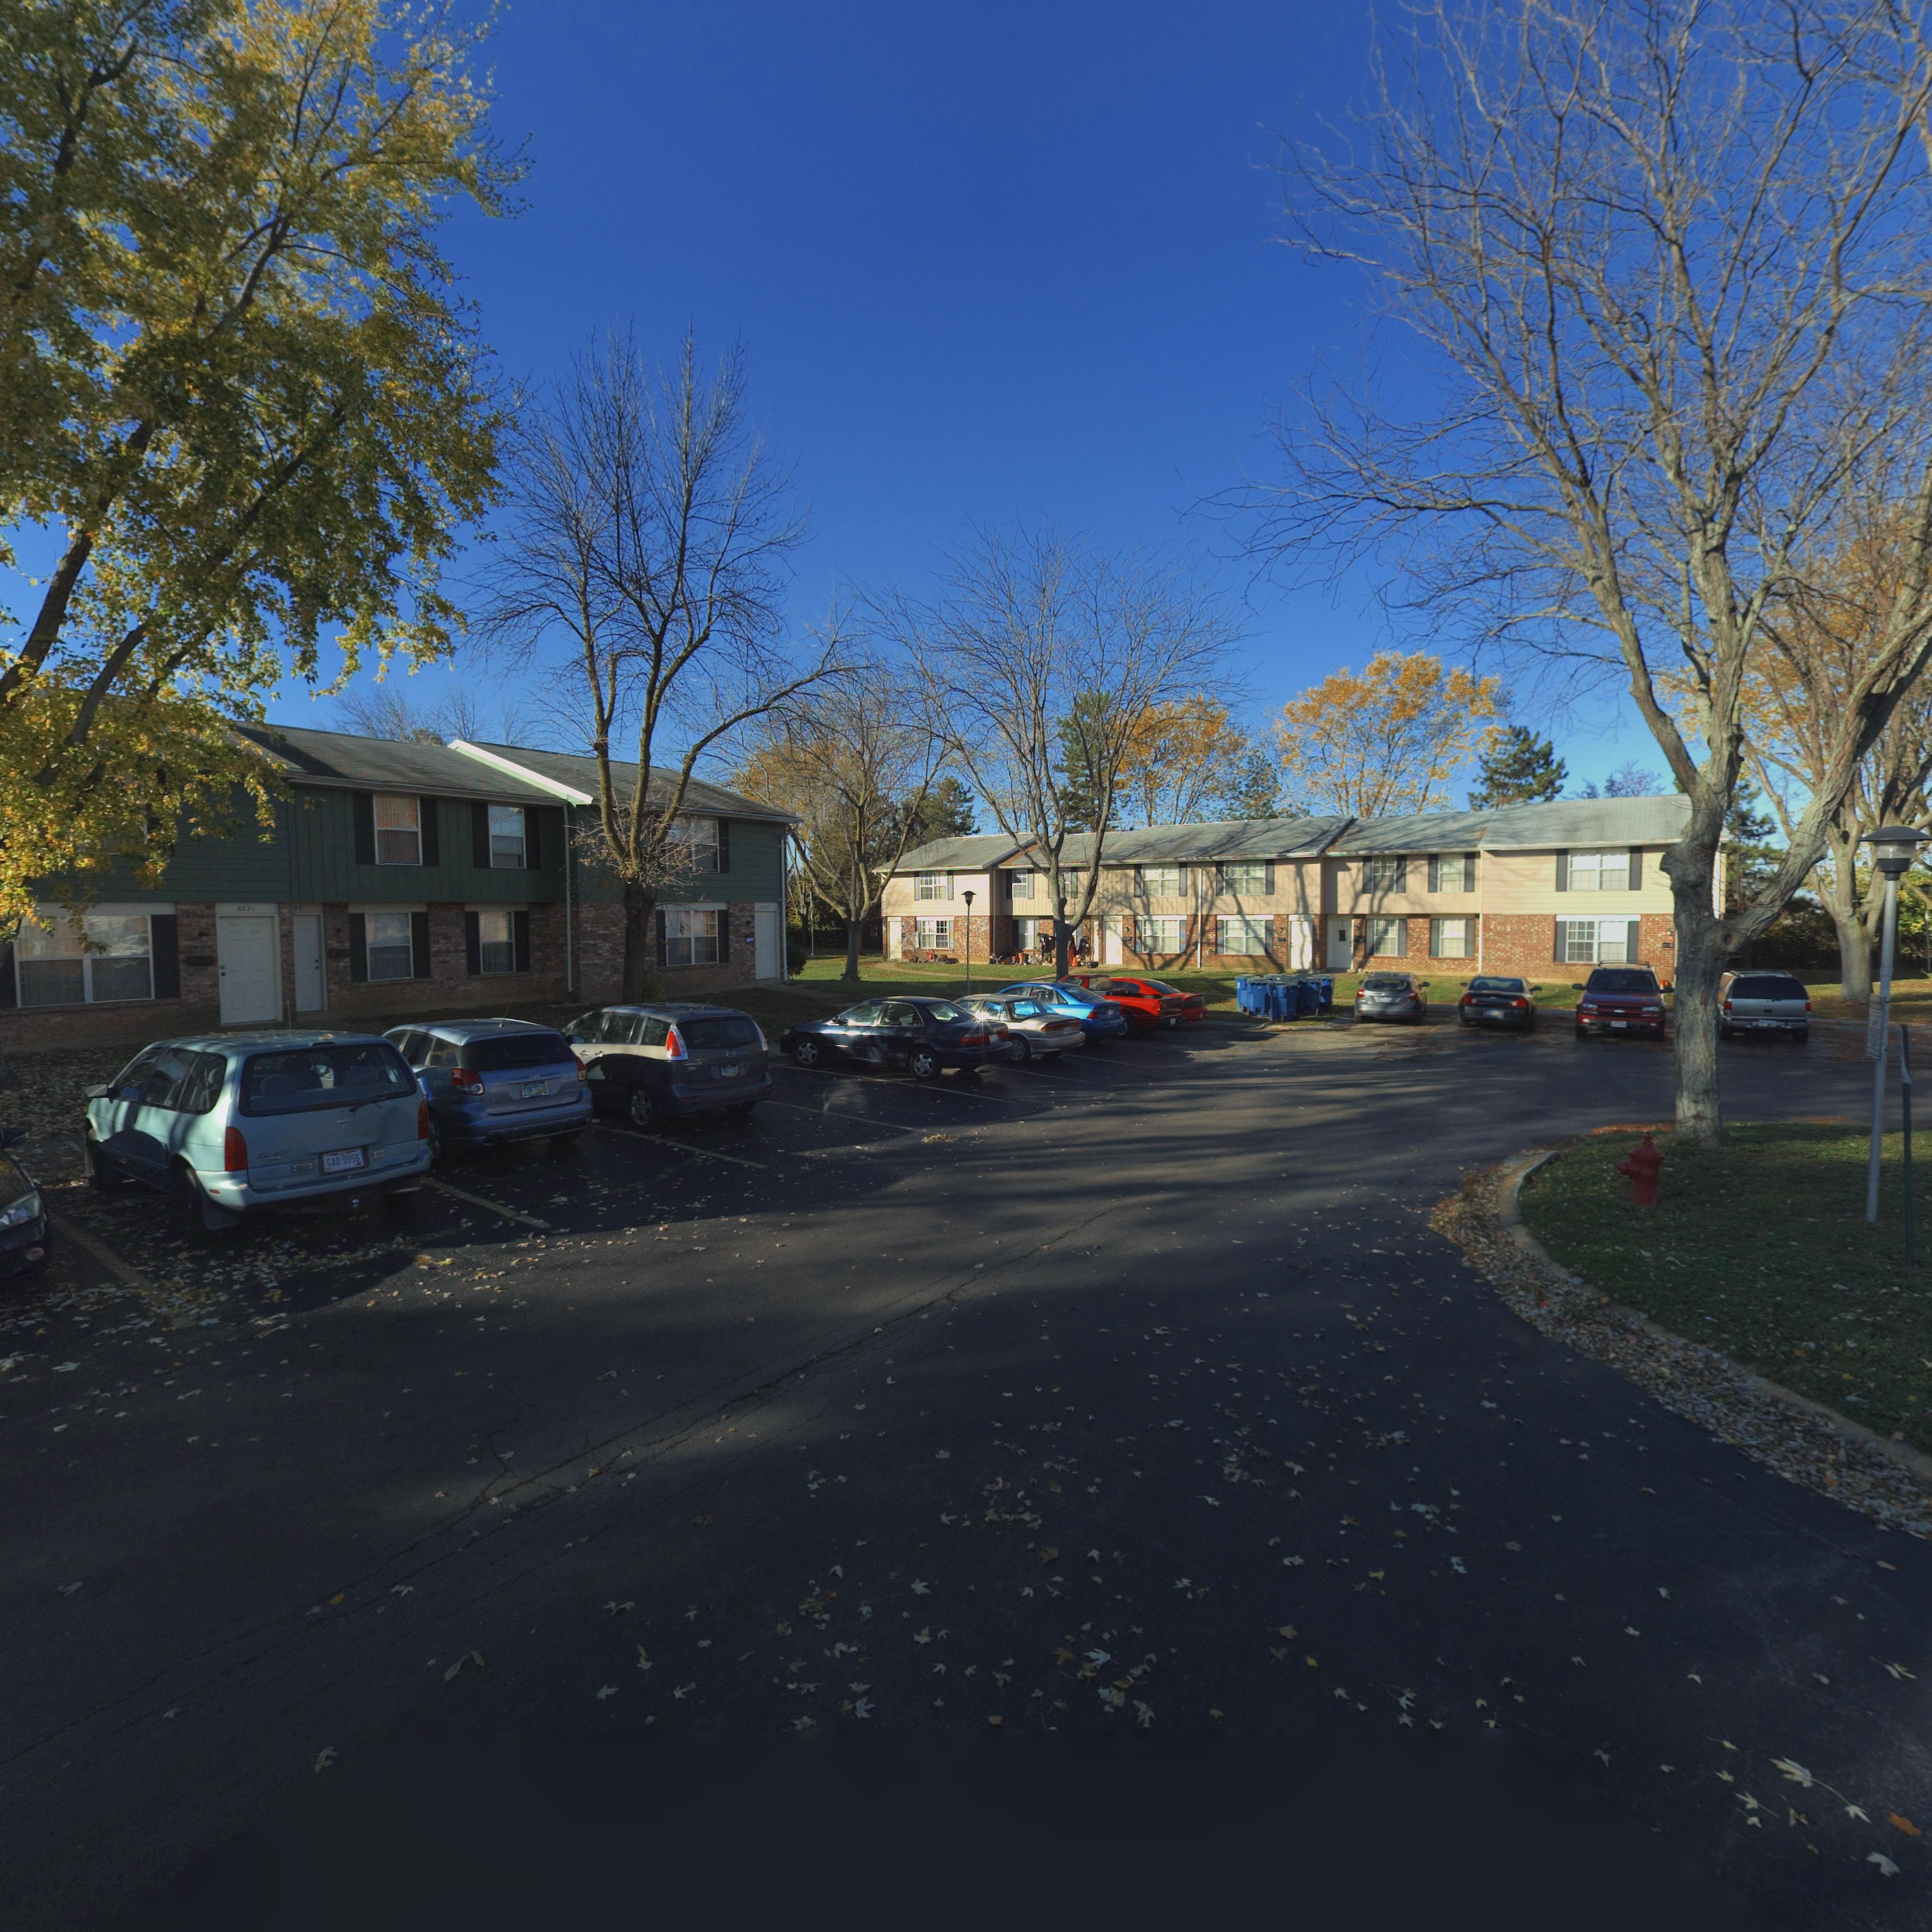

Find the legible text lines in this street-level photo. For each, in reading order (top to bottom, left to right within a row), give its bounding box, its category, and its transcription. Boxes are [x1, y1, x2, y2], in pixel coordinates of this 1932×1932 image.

[236, 905, 255, 912] StreetNumber: 8221
[293, 904, 302, 910] StreetNumber: 23
[758, 904, 770, 909] StreetNumber: **25
[1335, 914, 1346, 918] StreetNumber: *2**